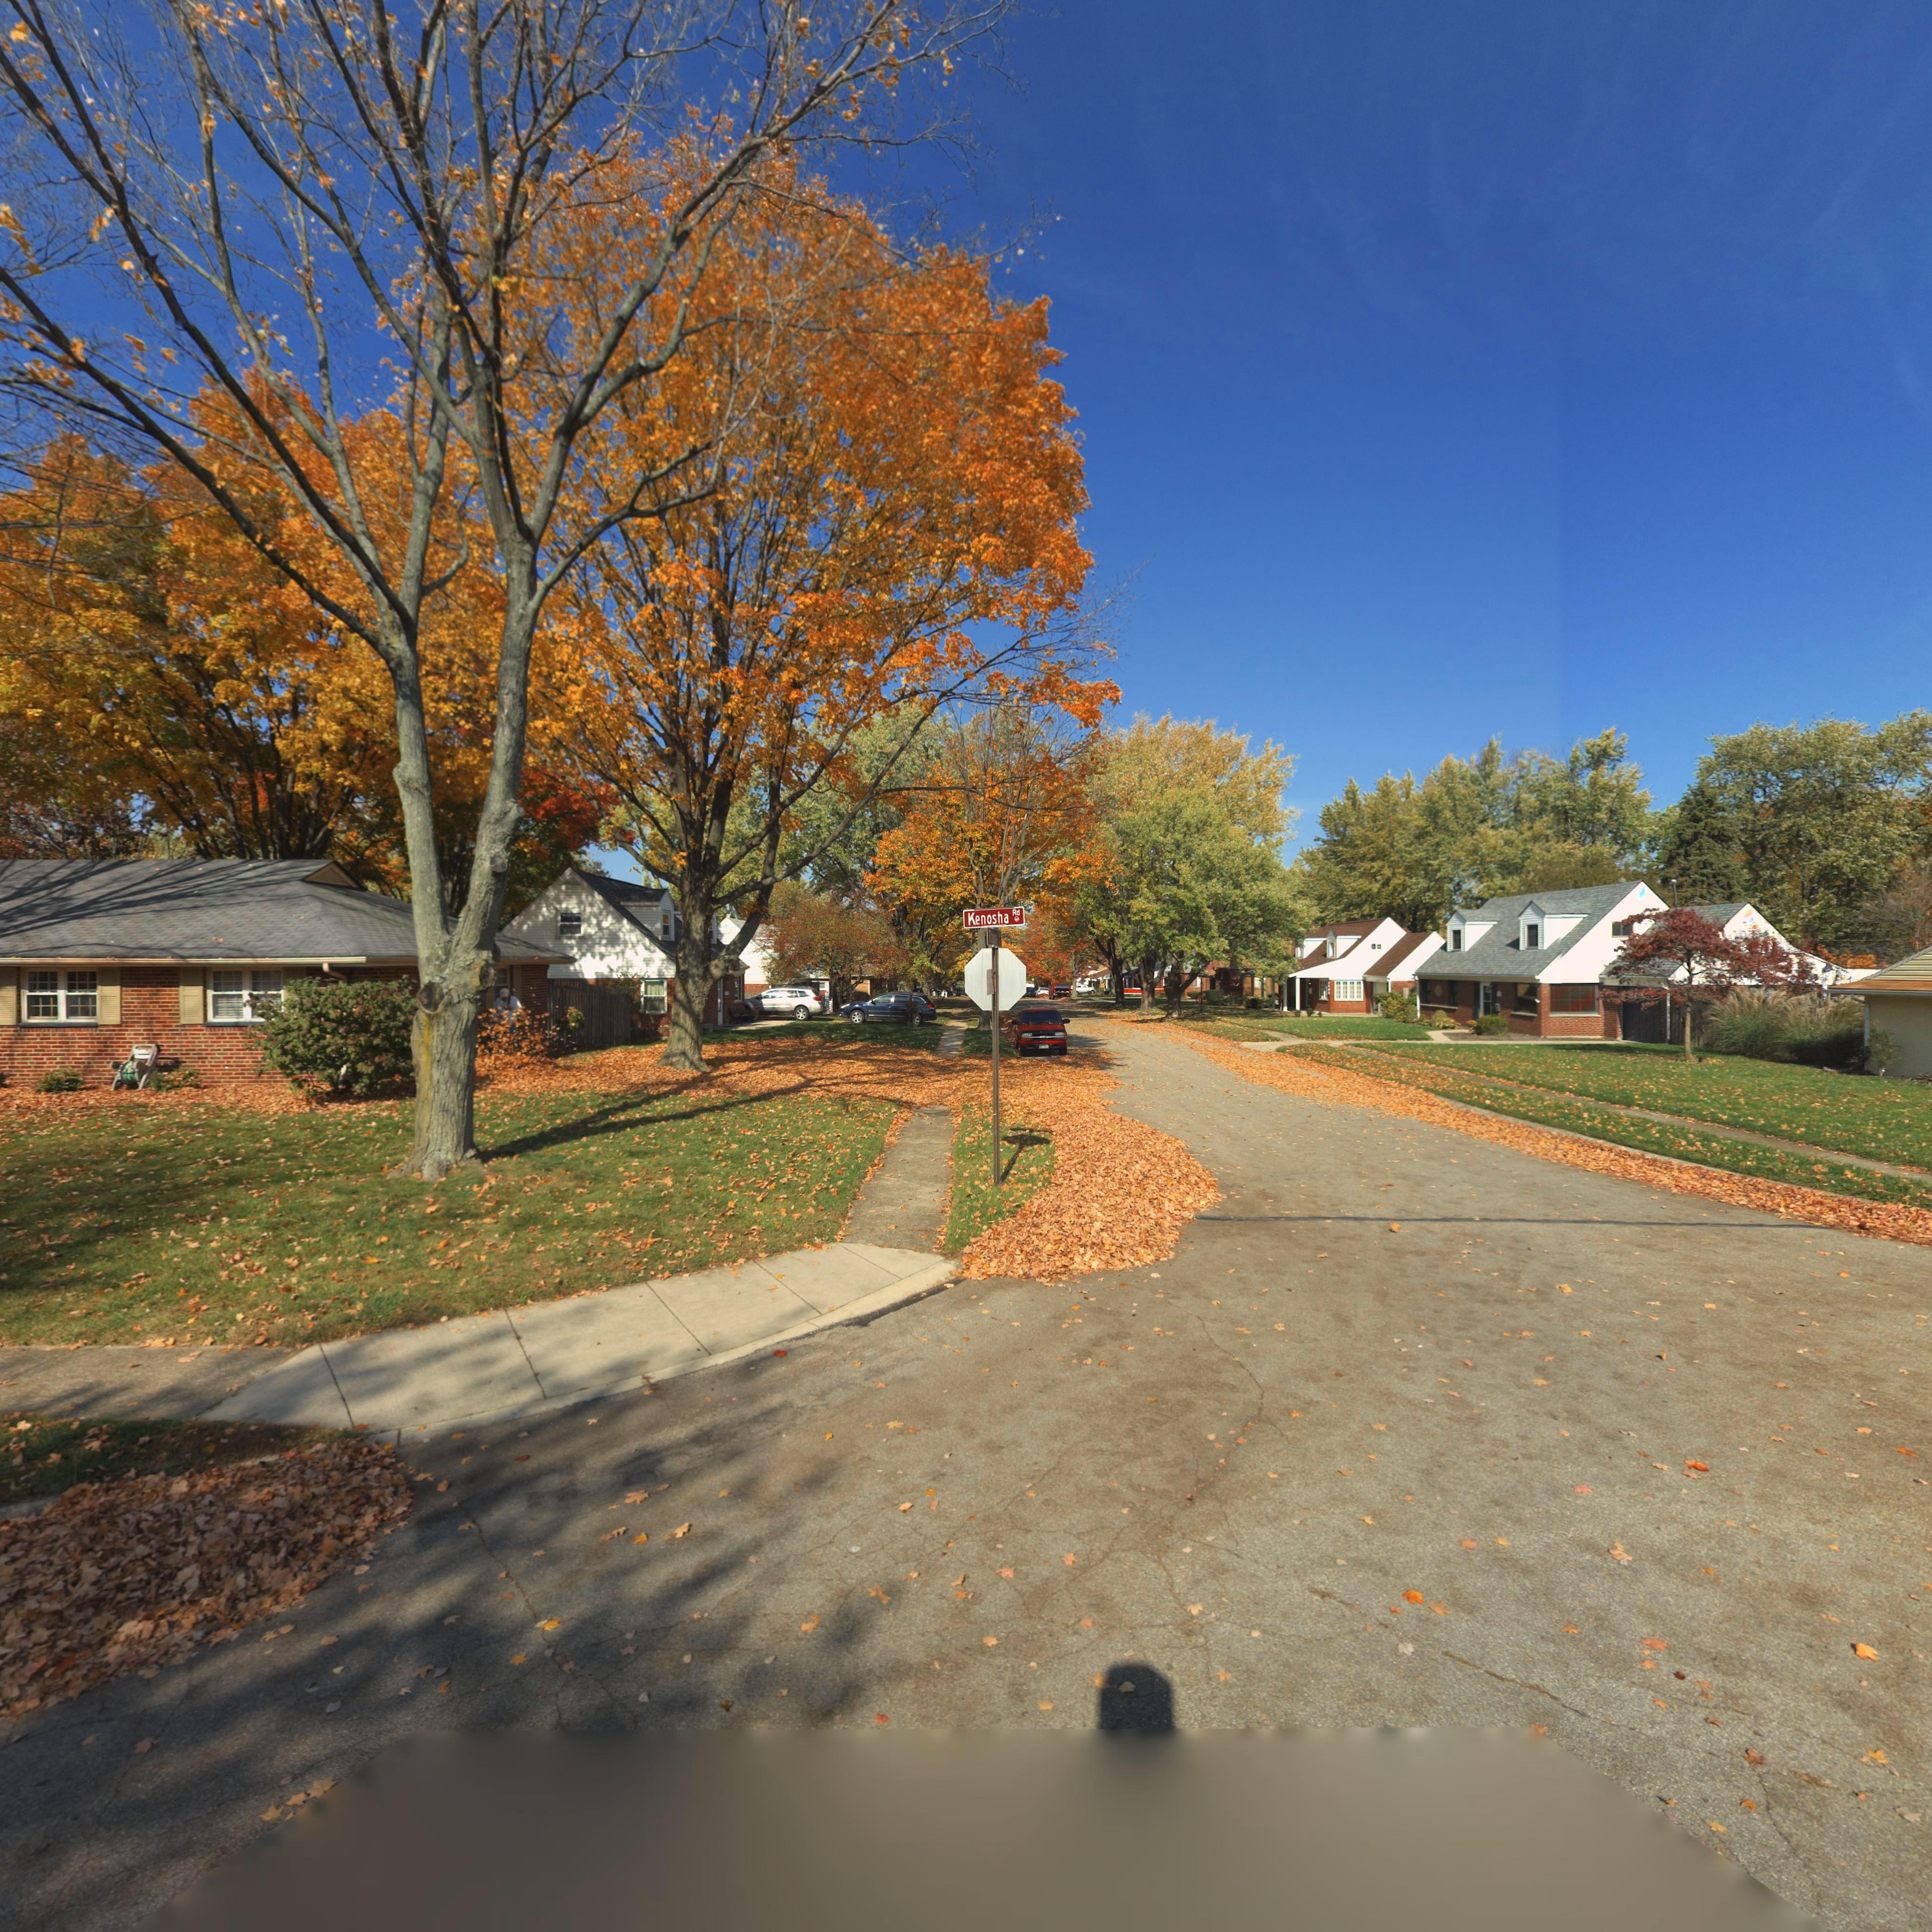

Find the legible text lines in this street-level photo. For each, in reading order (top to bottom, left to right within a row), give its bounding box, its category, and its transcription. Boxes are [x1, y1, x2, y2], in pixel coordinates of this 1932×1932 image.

[966, 907, 1022, 927] StreetName: Kenosha Rd